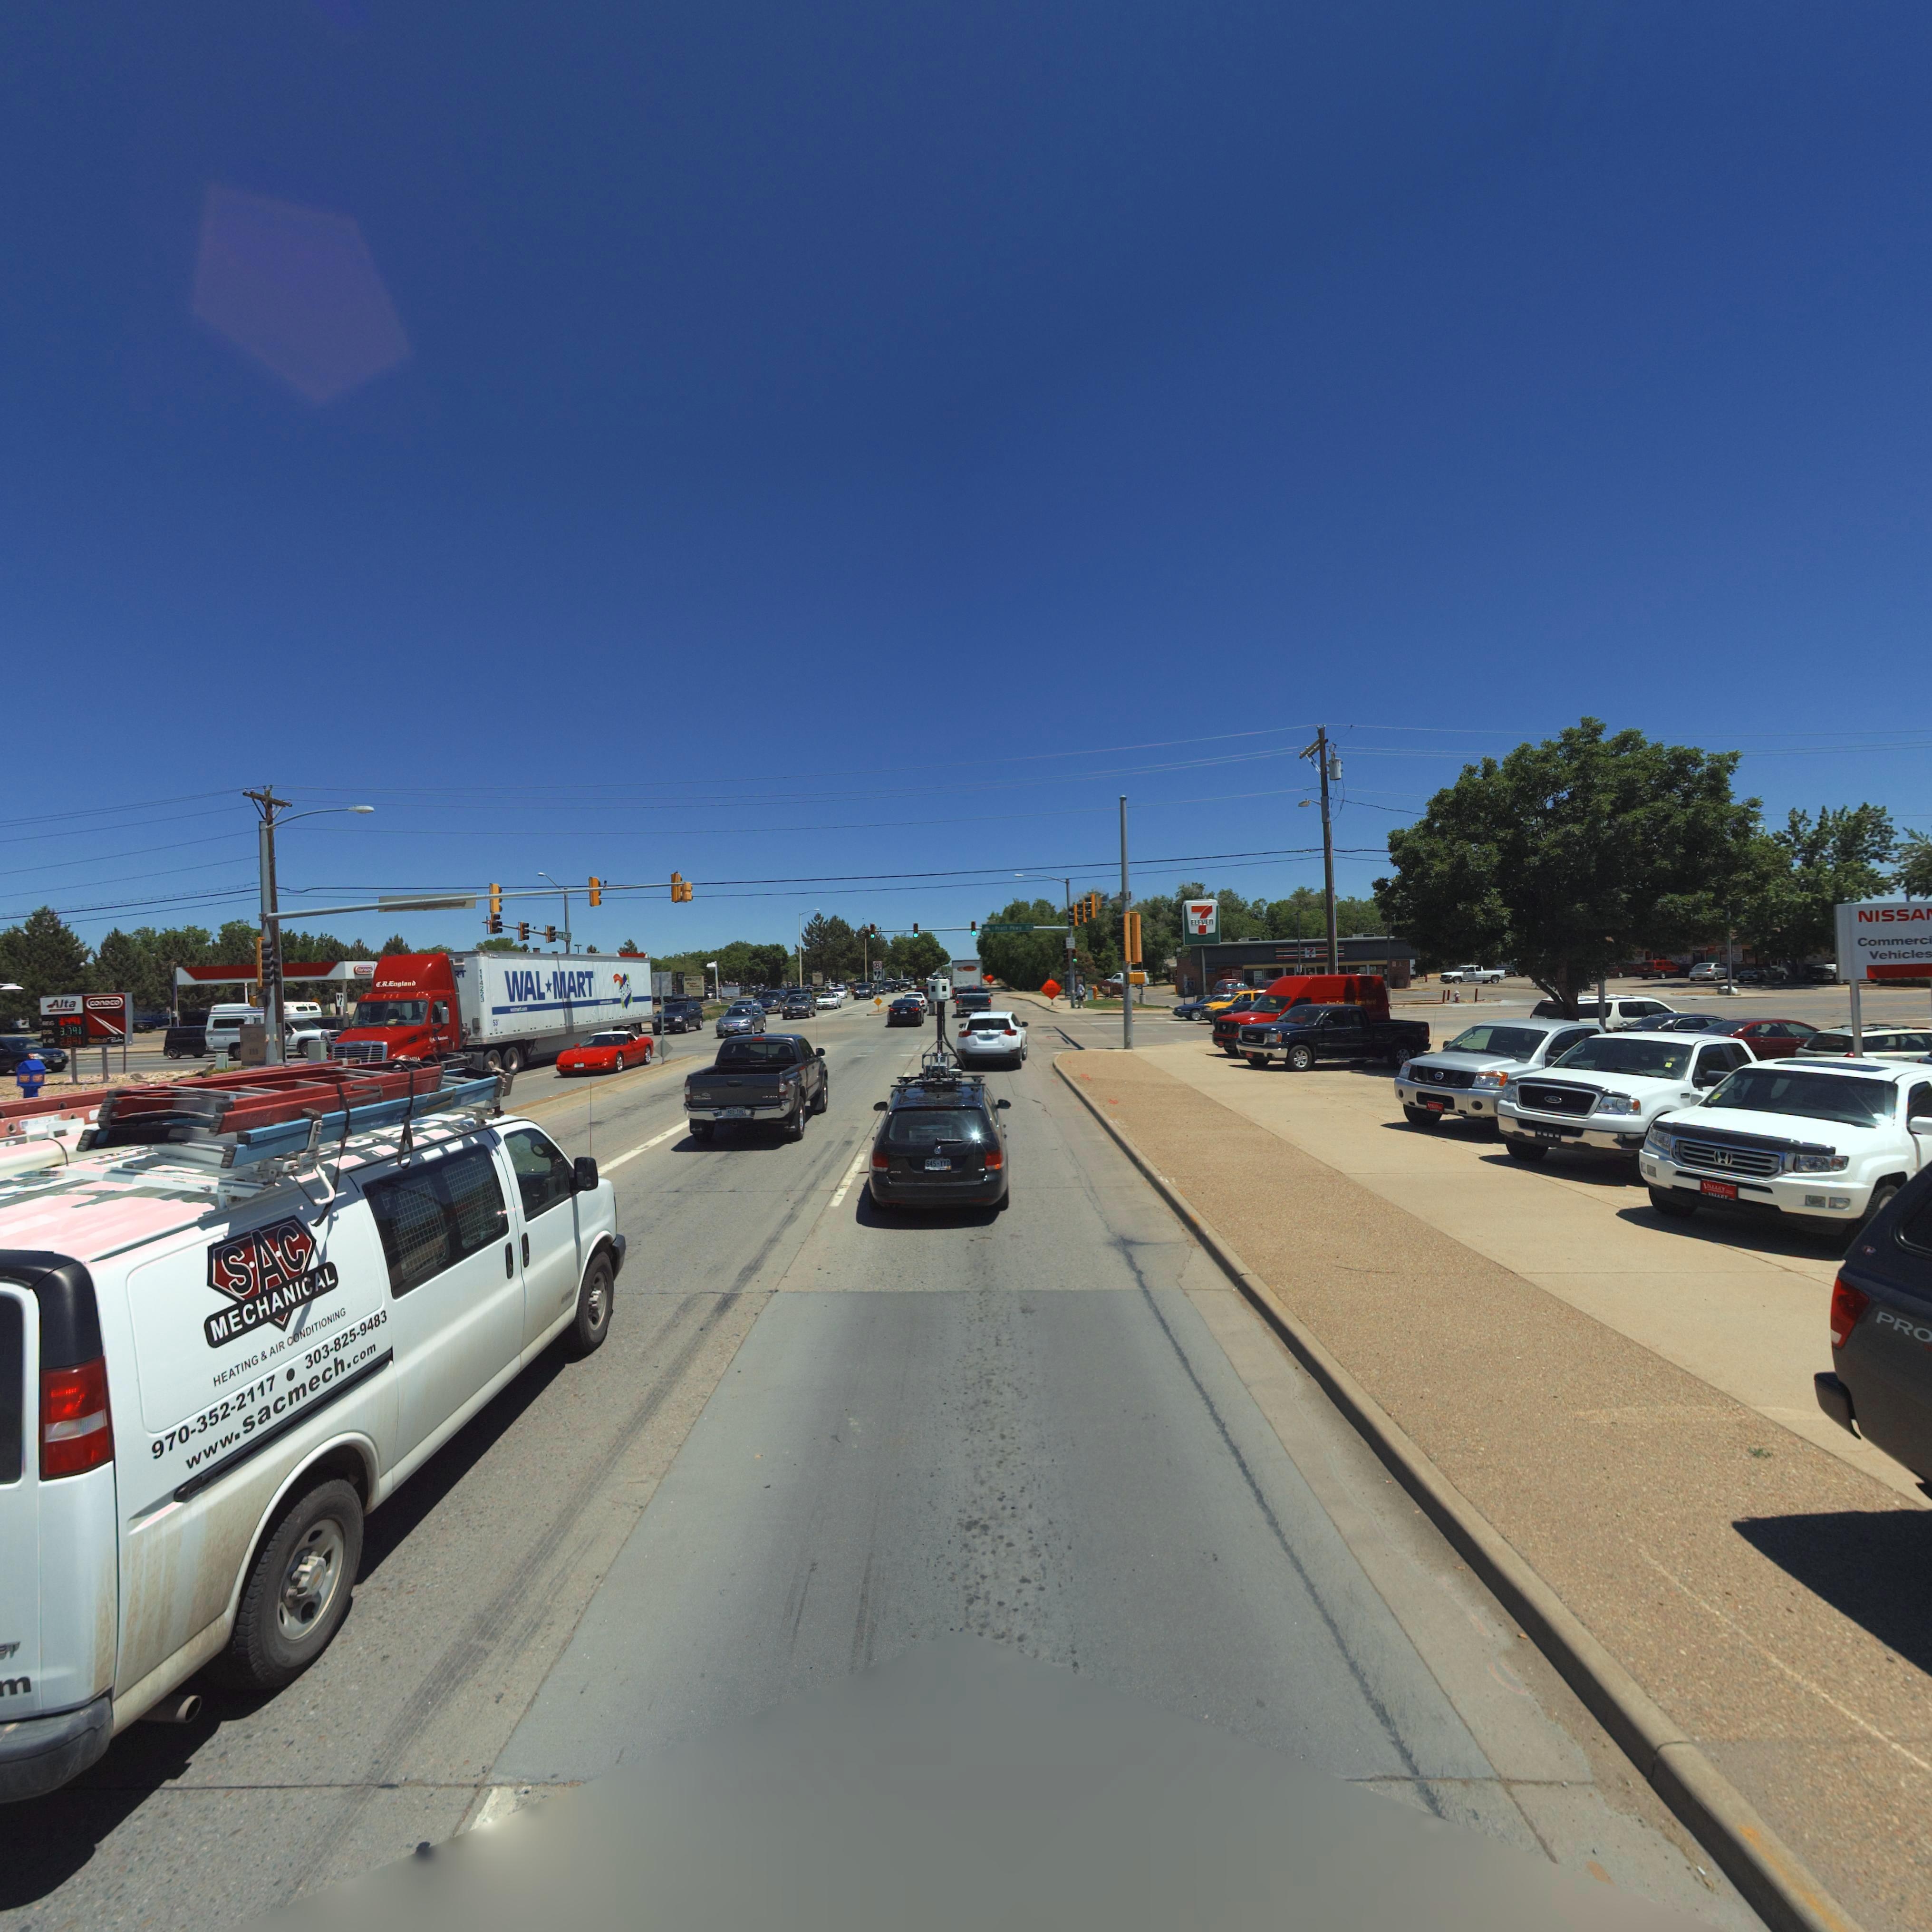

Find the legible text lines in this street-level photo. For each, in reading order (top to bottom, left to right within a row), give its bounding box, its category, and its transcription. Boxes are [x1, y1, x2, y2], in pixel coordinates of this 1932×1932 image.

[1190, 905, 1213, 934] BusinessName: 7
[1190, 919, 1213, 925] BusinessName: ELEVEn
[1858, 908, 1927, 922] BusinessName: NISSA
[995, 925, 1022, 931] StreetName: Pratt P*wy
[1306, 947, 1314, 957] BusinessName: 7
[357, 968, 373, 972] BusinessName: oo*o*o
[51, 999, 76, 1008] BusinessName: Alta
[89, 1000, 120, 1006] BusinessName: conoco